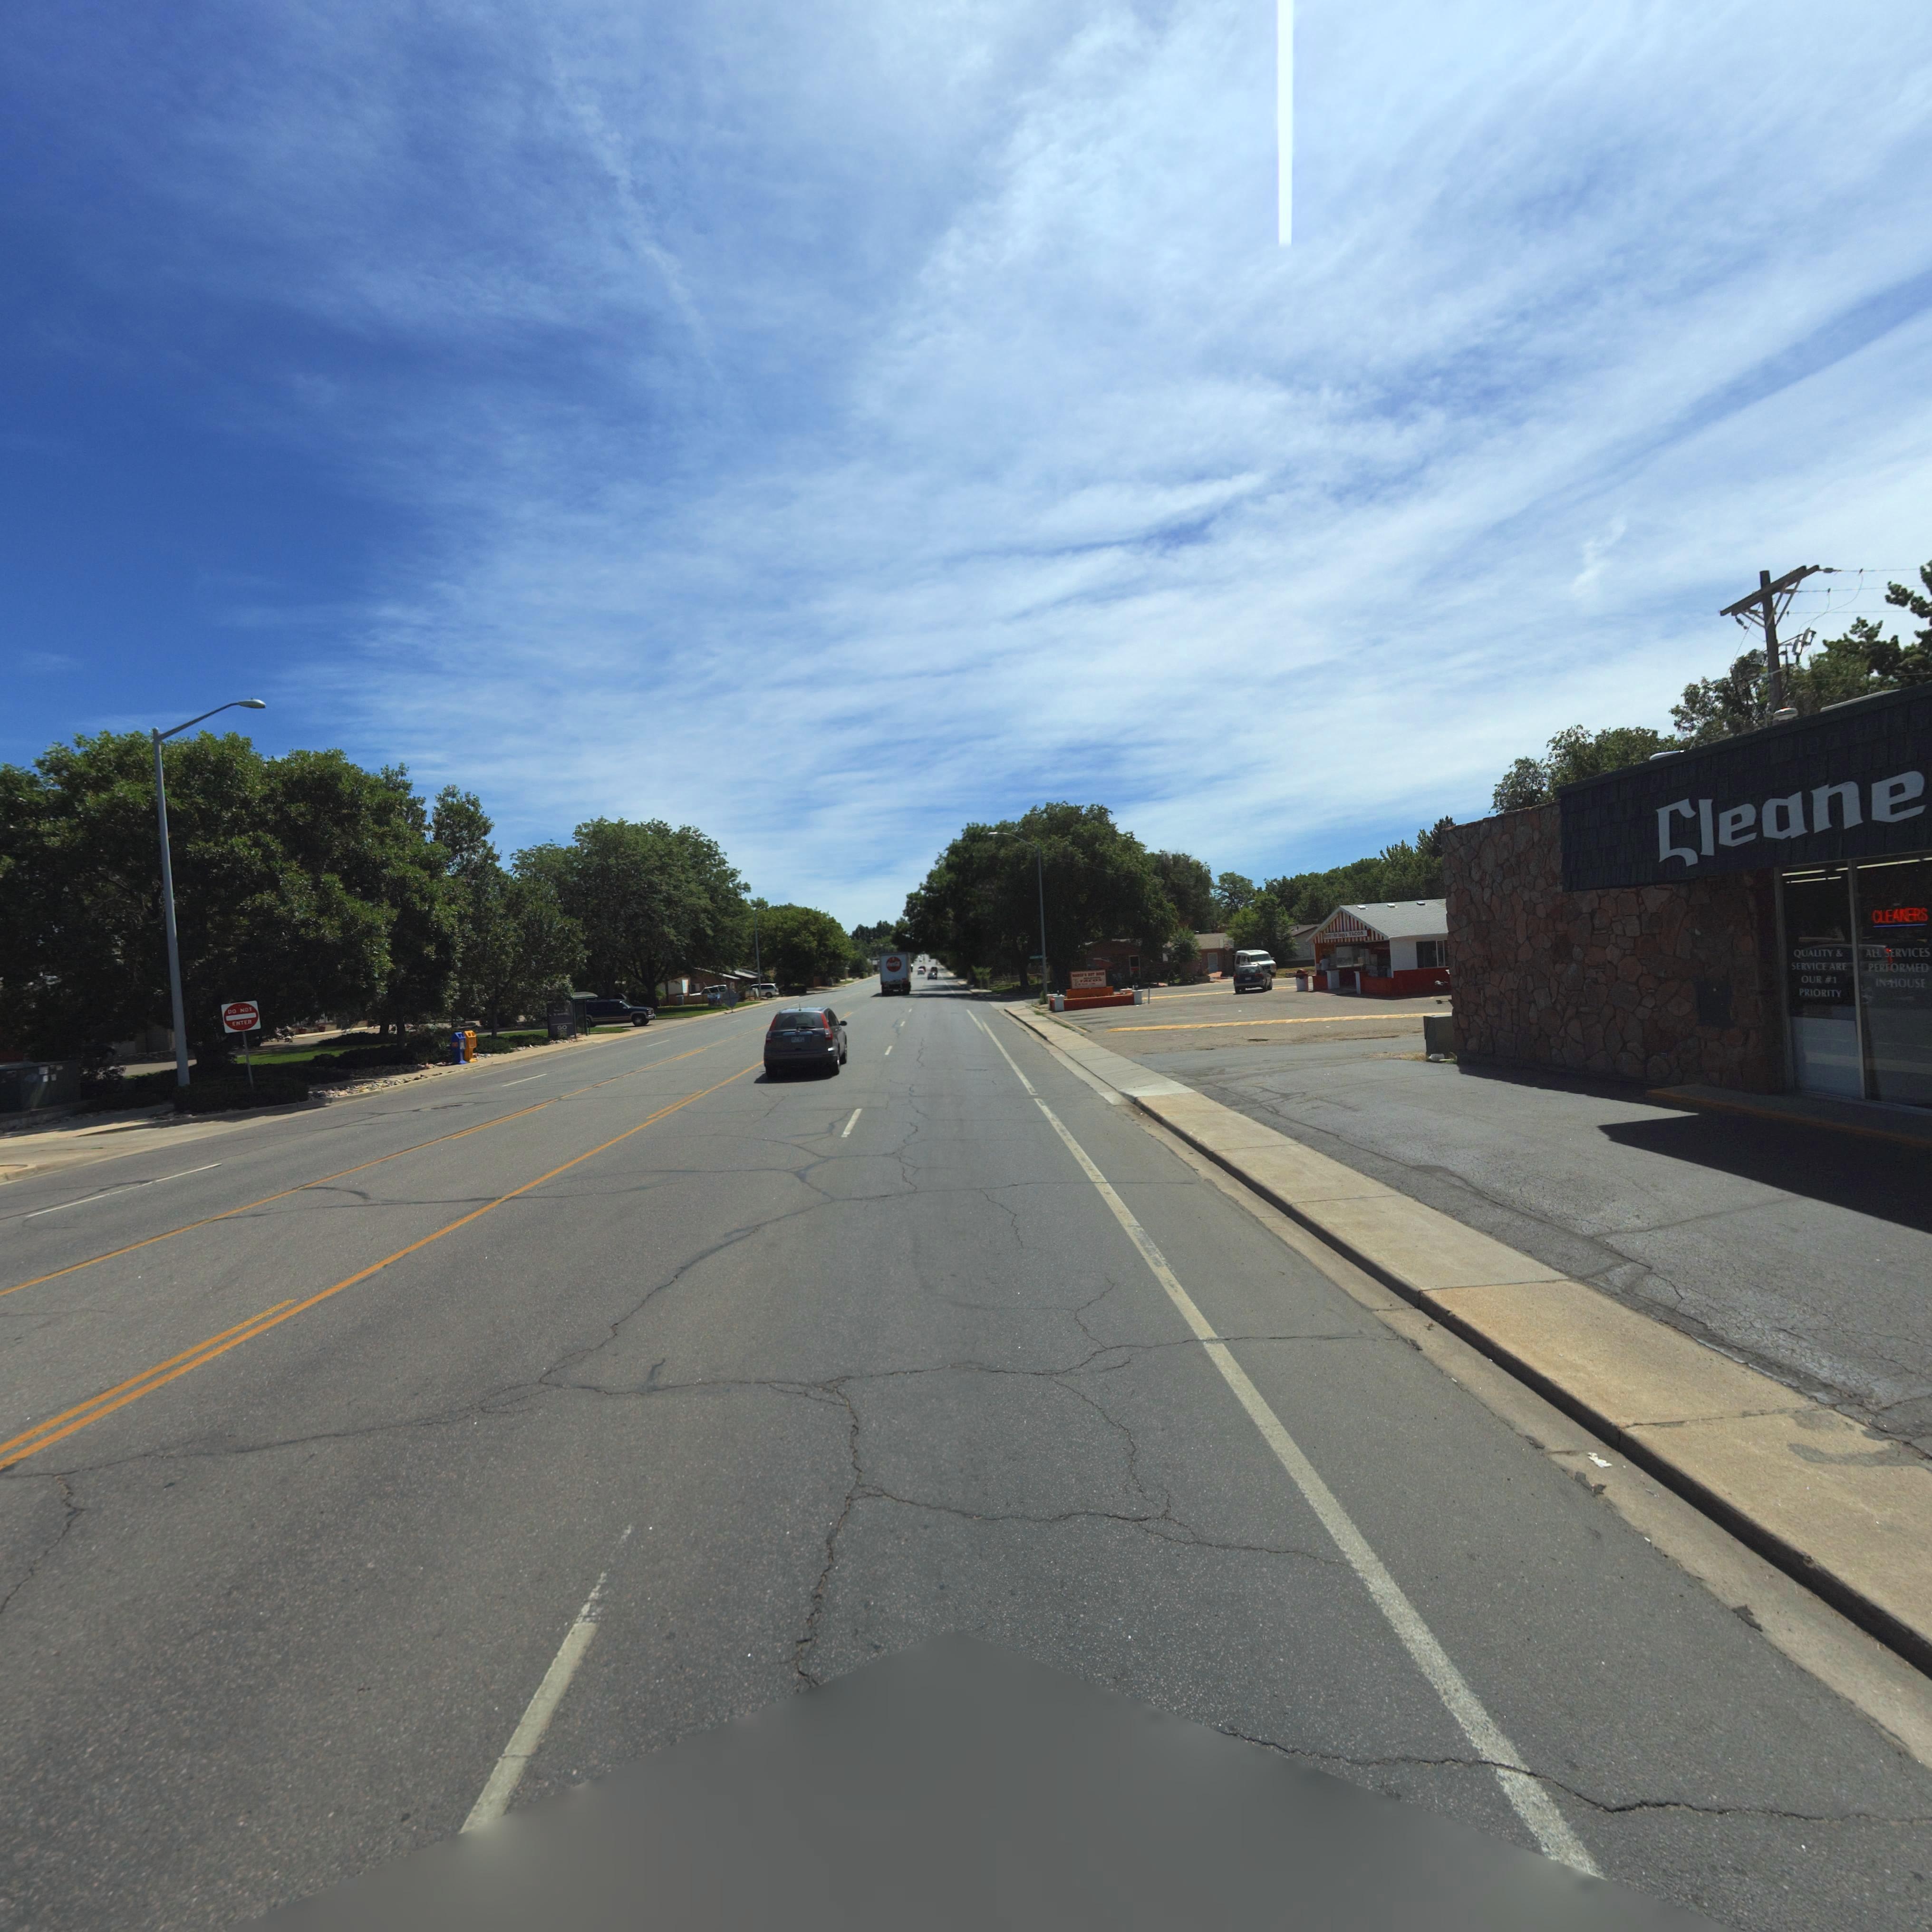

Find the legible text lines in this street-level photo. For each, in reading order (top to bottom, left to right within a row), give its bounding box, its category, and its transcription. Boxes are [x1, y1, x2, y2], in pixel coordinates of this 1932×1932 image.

[1323, 930, 1364, 938] BusinessName: *****s H** **gs & TACOS
[1072, 971, 1105, 977] BusinessName: *****S **T ***S
[1079, 978, 1102, 982] BusinessName: TACOS